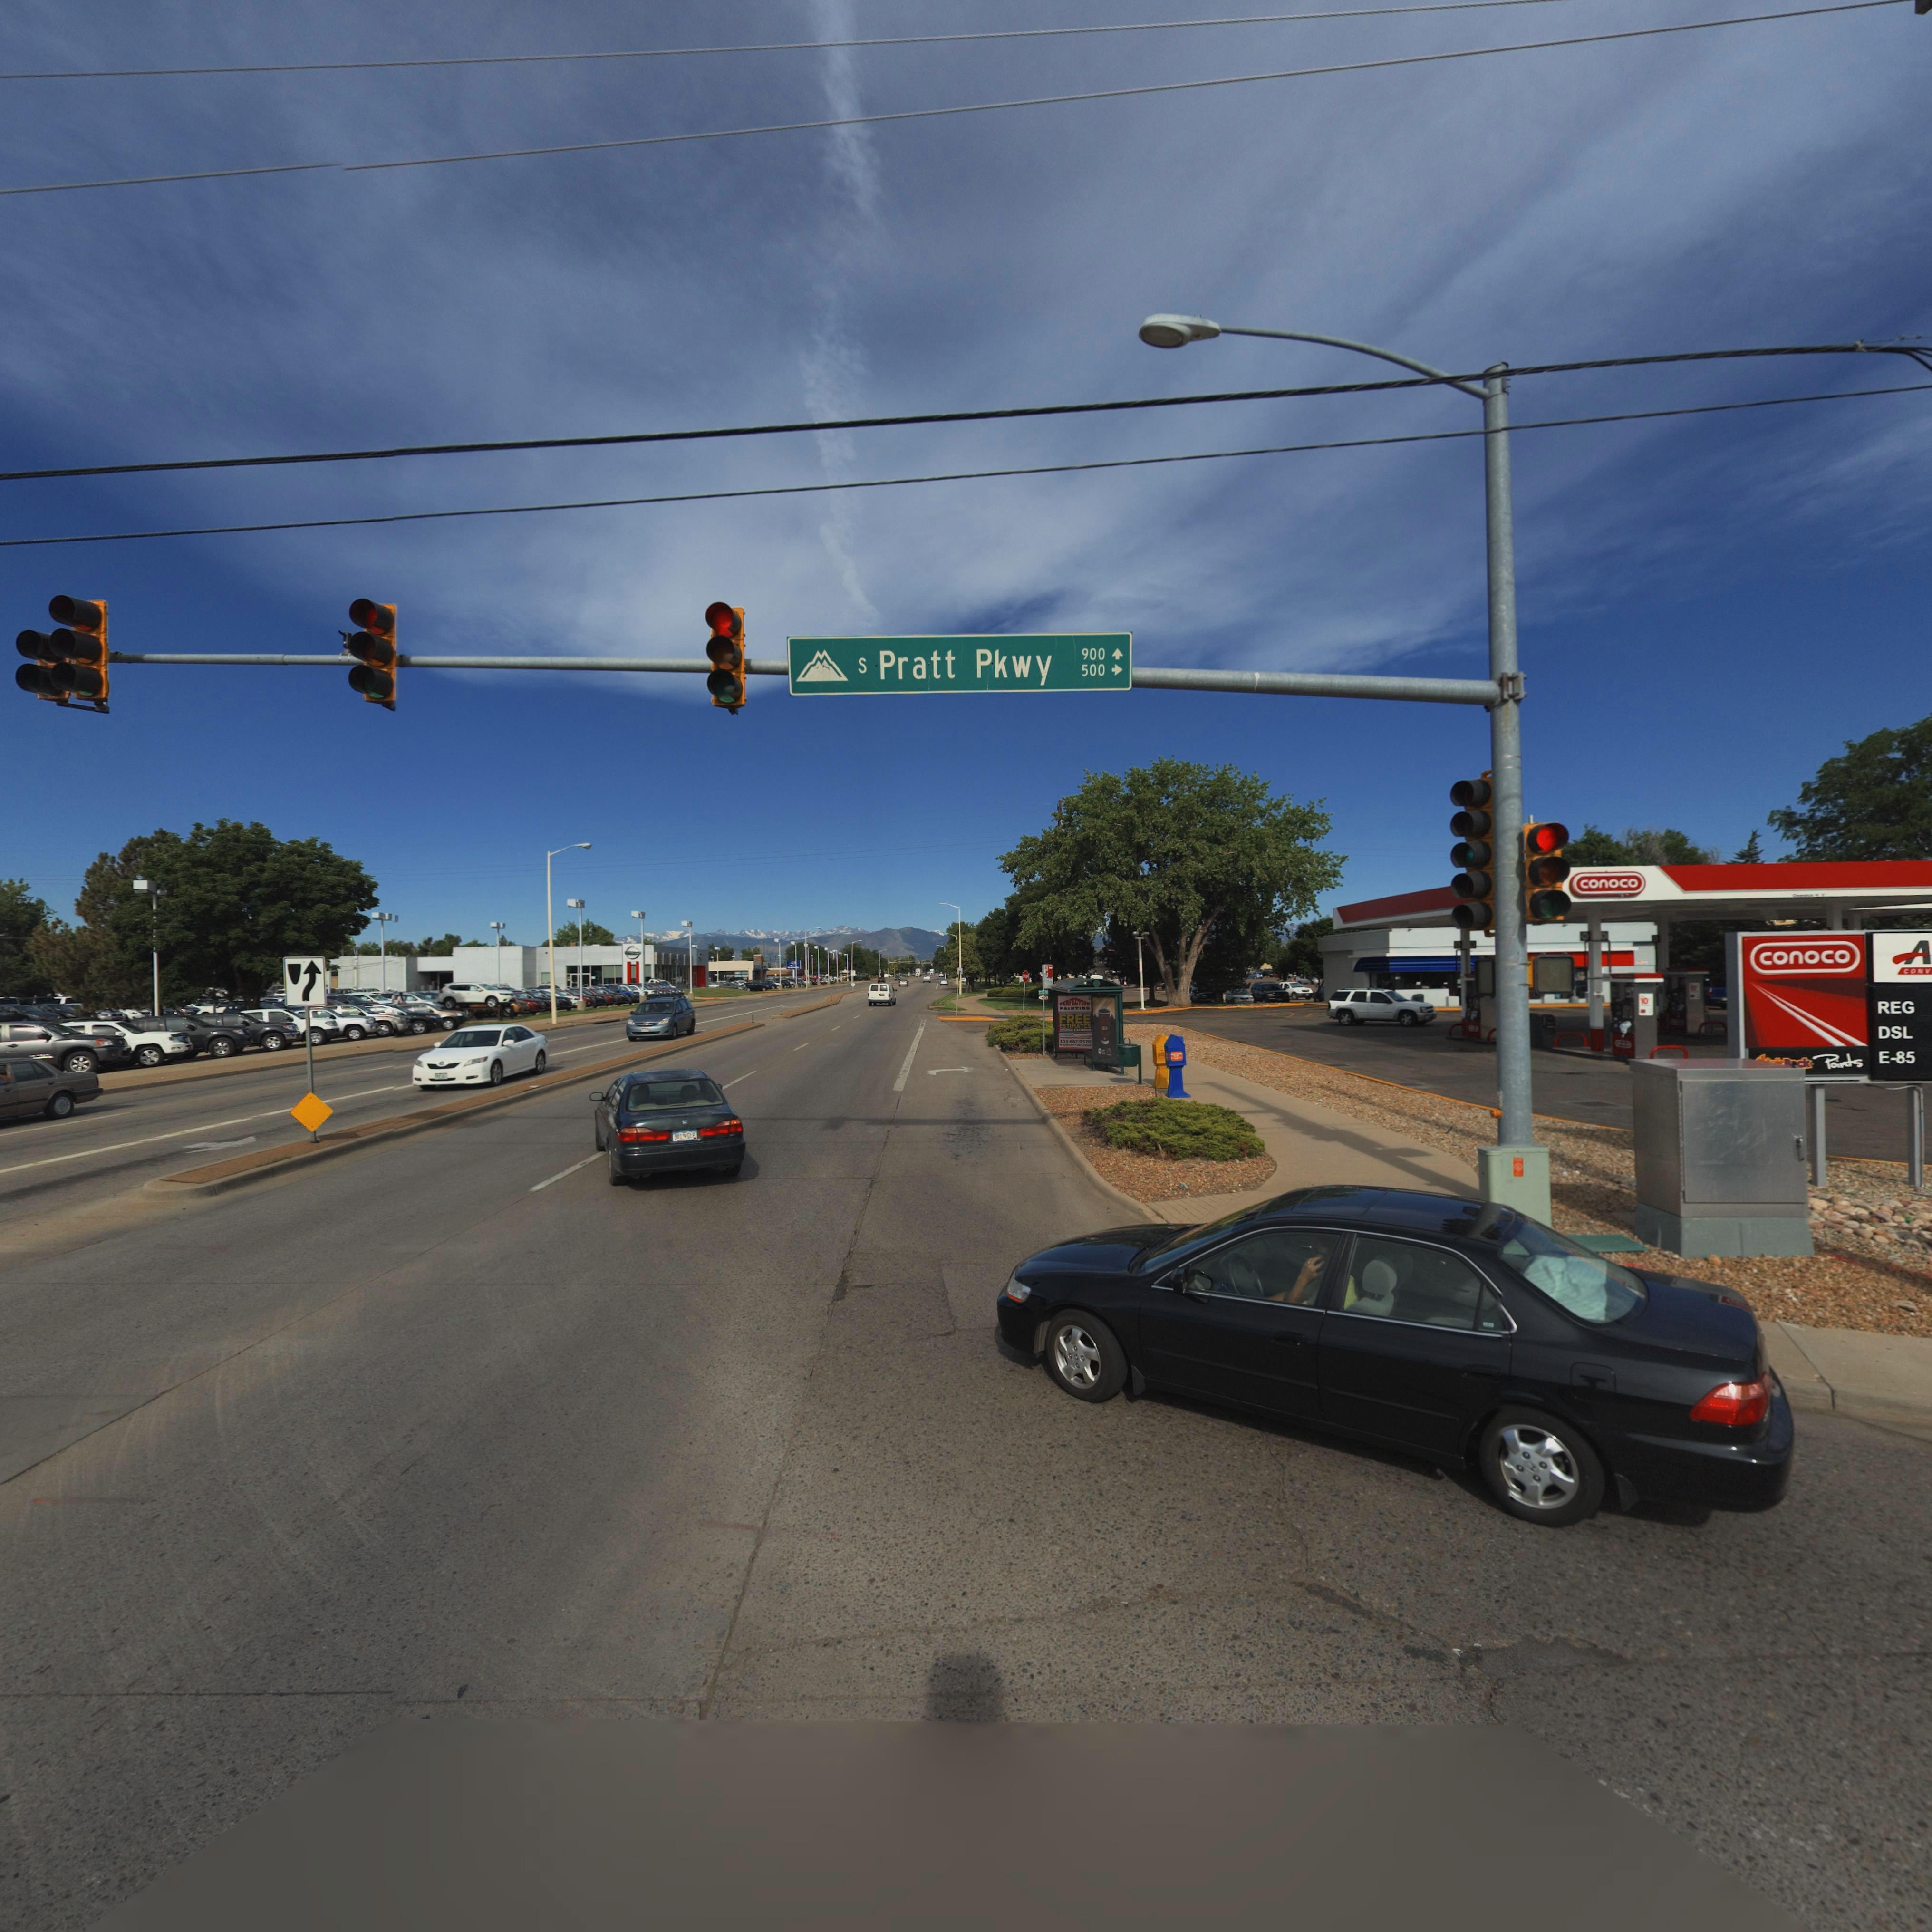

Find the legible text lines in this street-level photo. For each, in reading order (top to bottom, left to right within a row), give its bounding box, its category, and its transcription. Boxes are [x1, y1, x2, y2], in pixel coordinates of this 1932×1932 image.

[1081, 647, 1105, 661] StreetNumberRange: 900
[857, 648, 1053, 686] StreetName: S Pratt Pkwy
[1081, 663, 1123, 677] StreetNumberRange: 500->
[1579, 878, 1638, 889] BusinessName: conoco
[1758, 949, 1852, 966] BusinessName: conoco
[1903, 940, 1931, 965] BusinessName: A
[1903, 968, 1932, 974] BusinessName: CONV